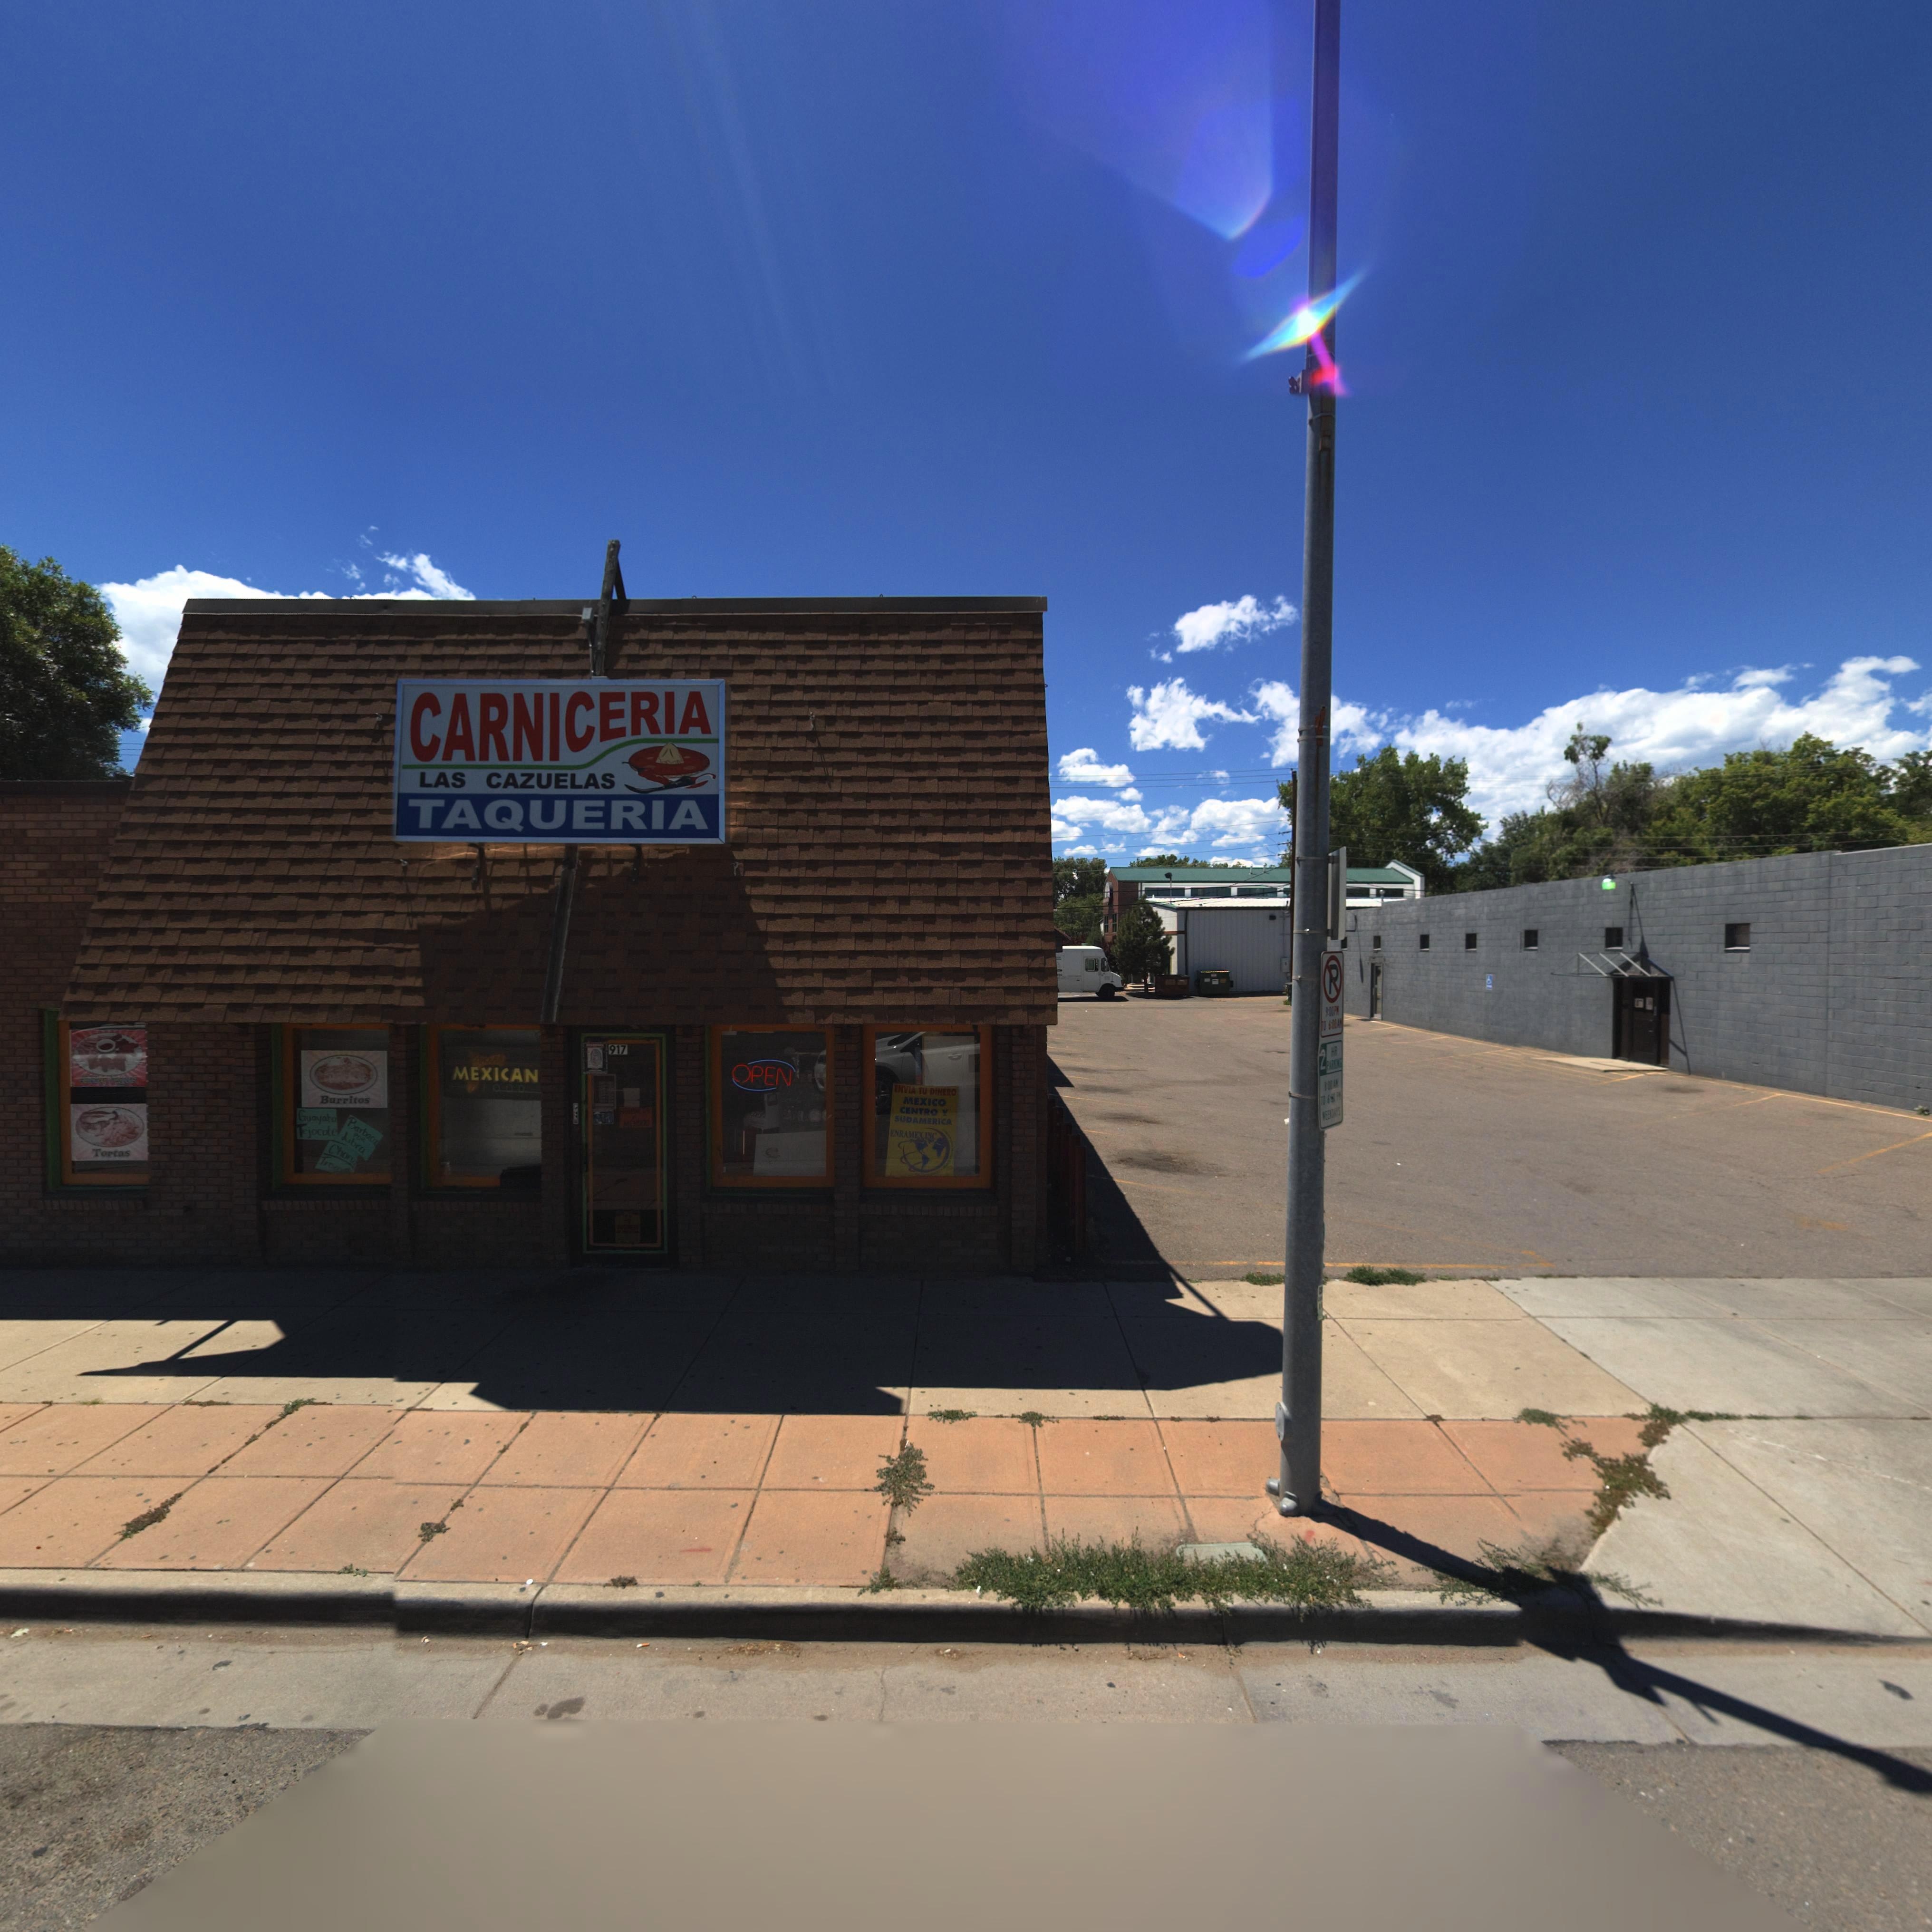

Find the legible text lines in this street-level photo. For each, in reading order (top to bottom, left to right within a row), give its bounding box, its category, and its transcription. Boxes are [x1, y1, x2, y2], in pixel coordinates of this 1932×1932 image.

[418, 771, 617, 790] BusinessName: LAS CAZUELAS
[407, 798, 710, 833] BusinessName: TAQUERIA
[609, 1044, 627, 1054] StreetNumber: 917